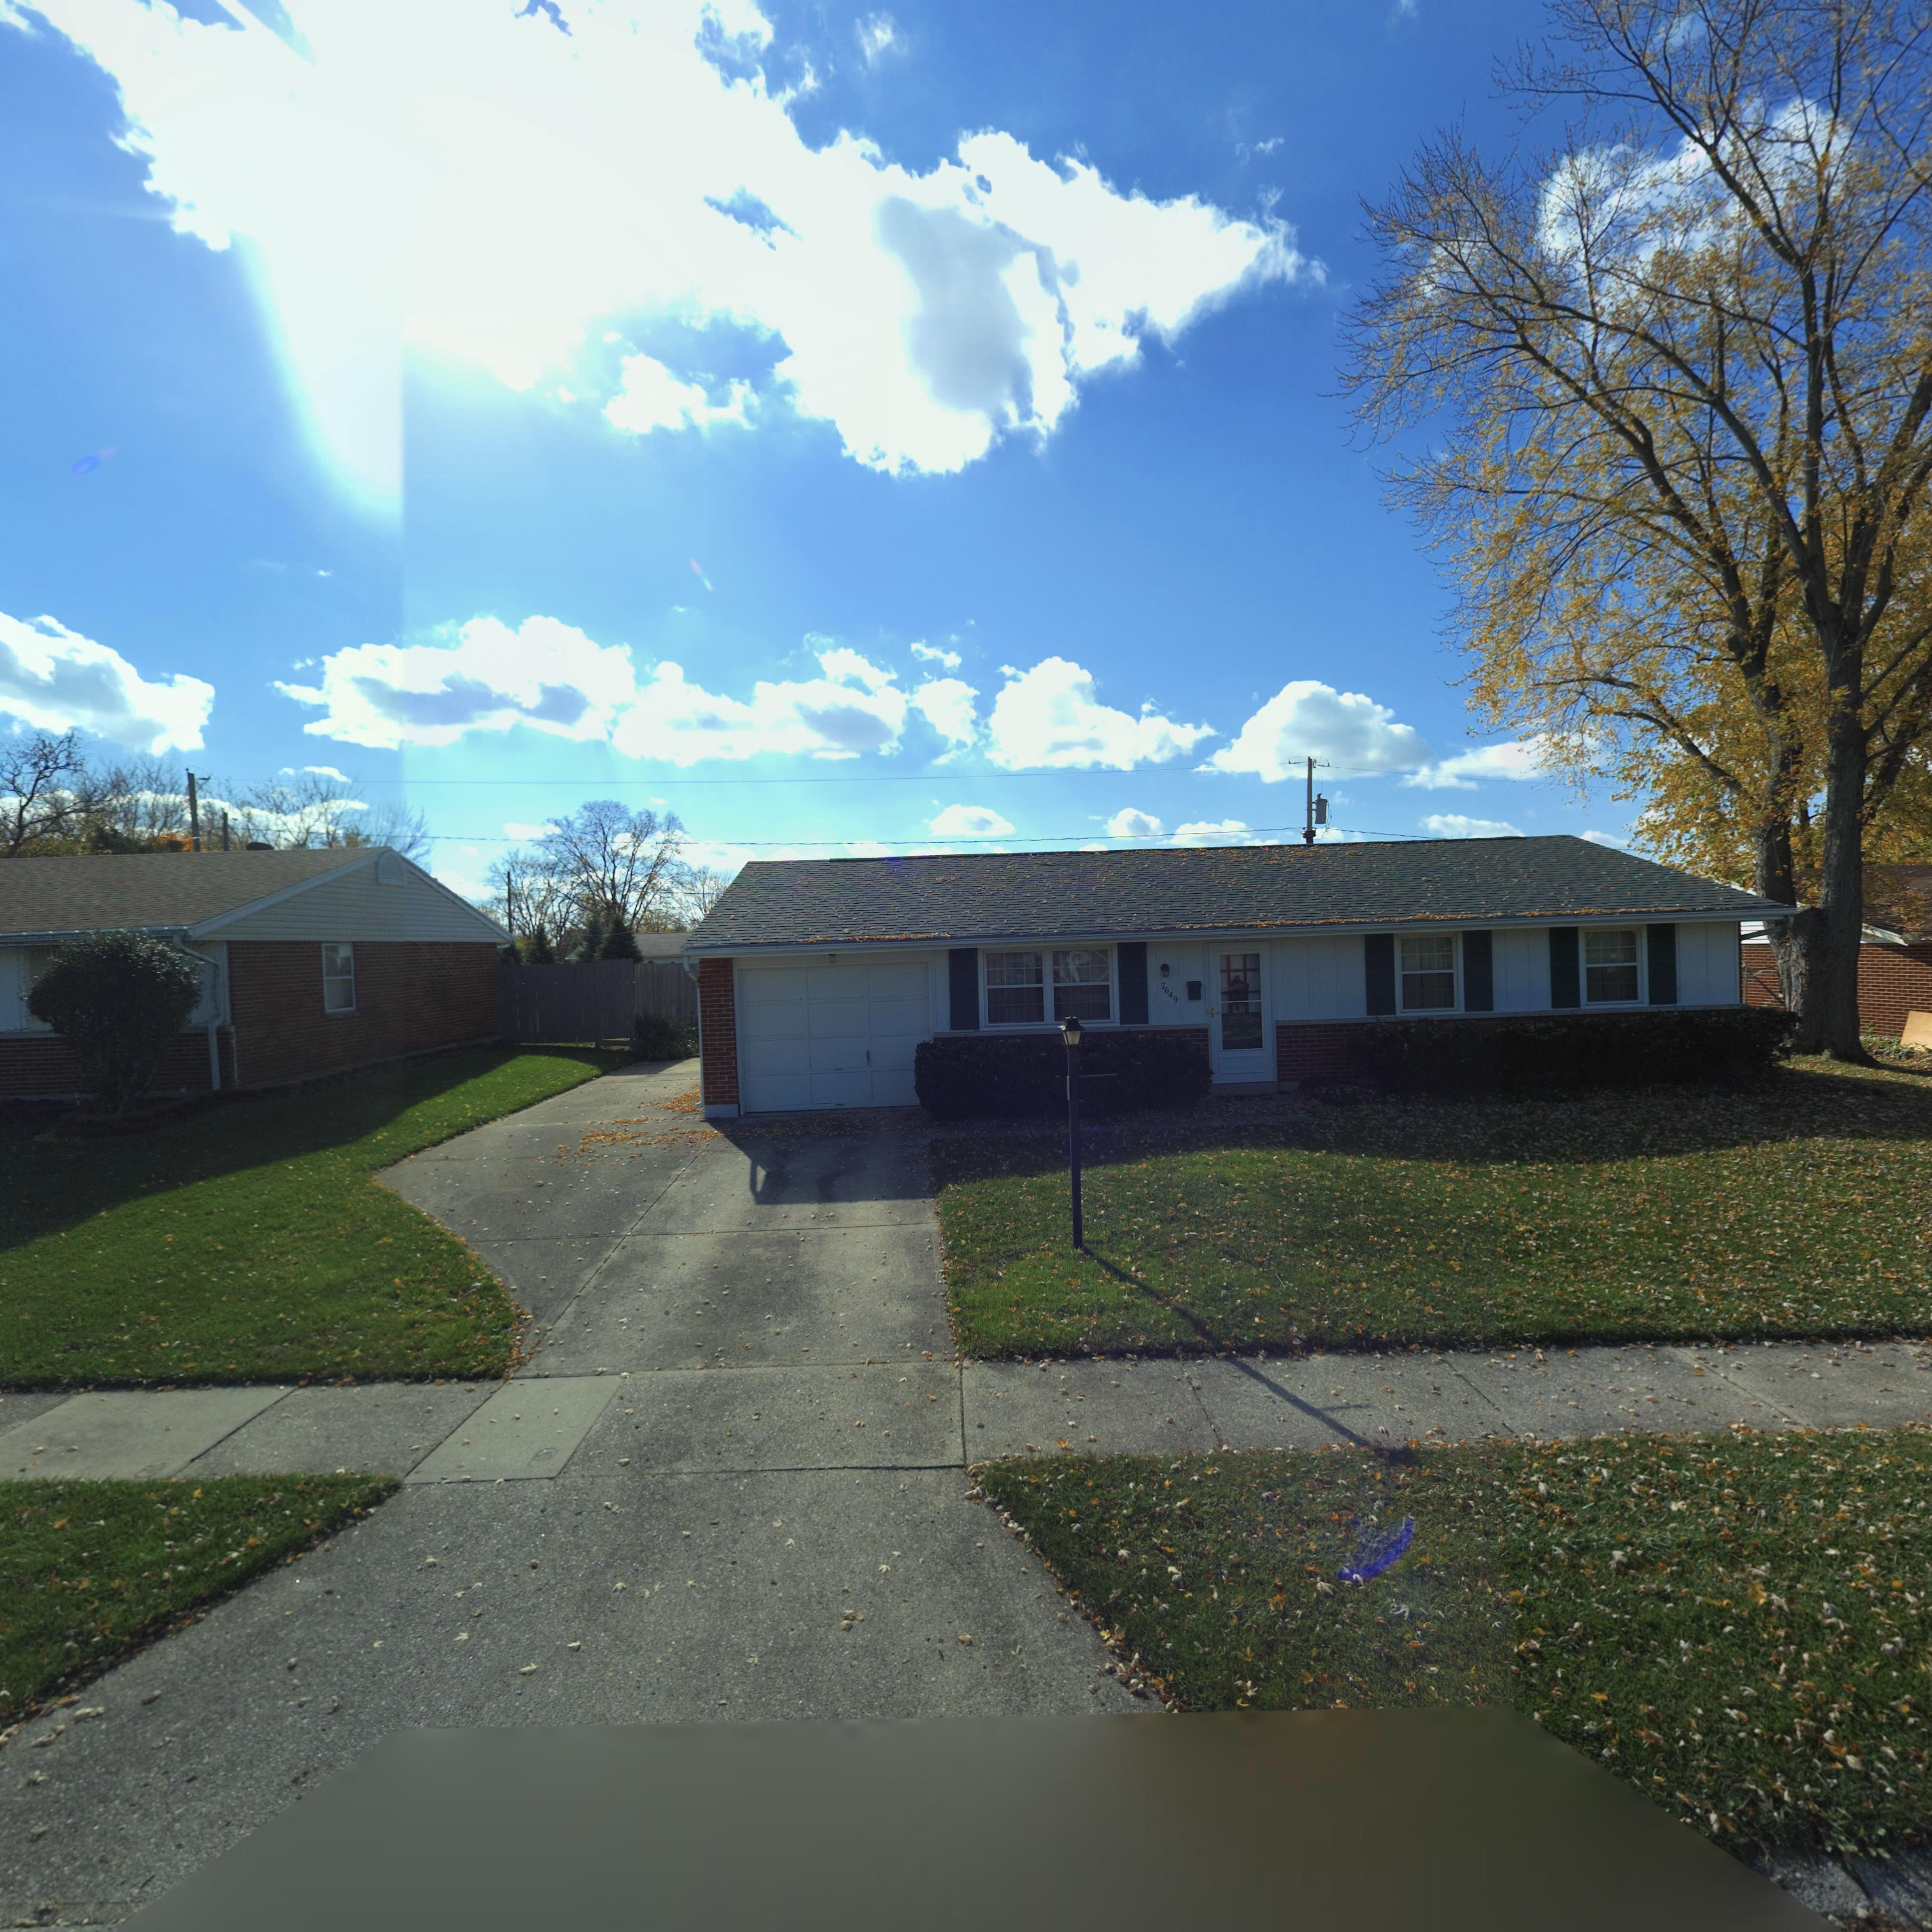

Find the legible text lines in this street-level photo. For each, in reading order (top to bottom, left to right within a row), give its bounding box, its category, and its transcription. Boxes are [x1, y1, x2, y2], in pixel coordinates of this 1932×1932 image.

[1161, 982, 1179, 1004] StreetNumber: 7649